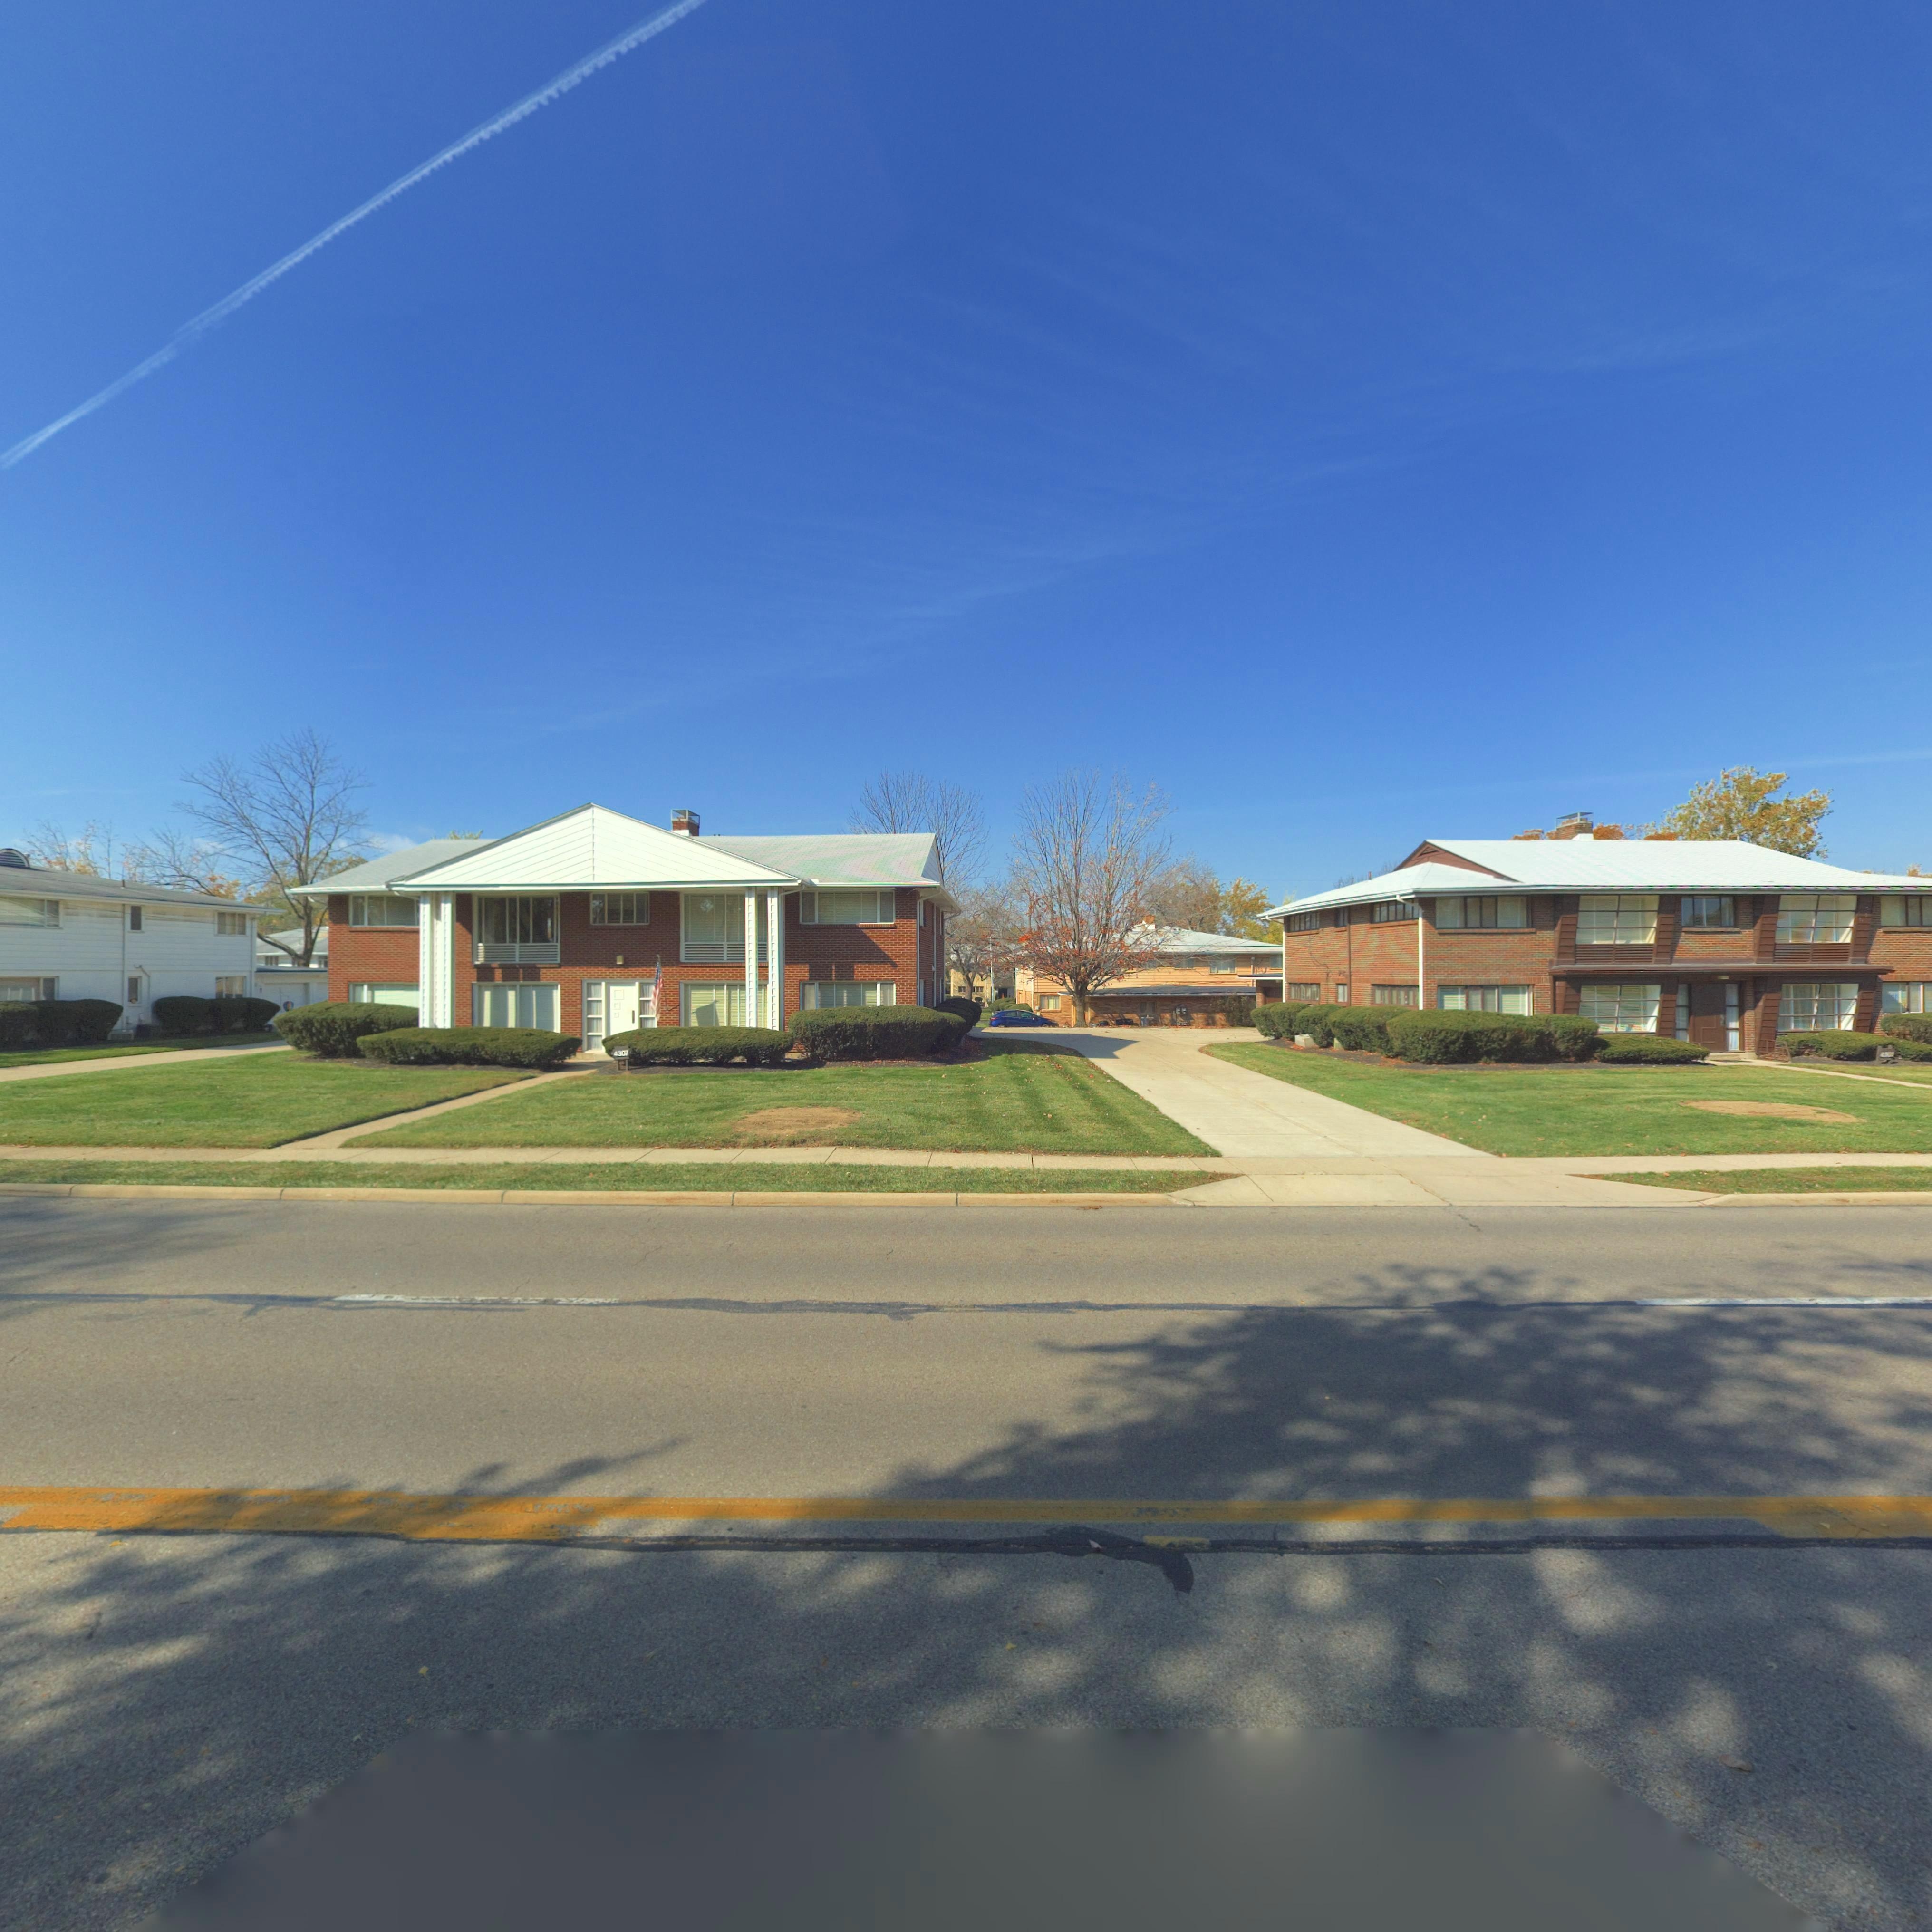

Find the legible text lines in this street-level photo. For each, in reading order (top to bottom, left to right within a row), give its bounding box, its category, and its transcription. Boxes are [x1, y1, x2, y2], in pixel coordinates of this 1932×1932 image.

[612, 1049, 630, 1058] StreetNumber: 4307